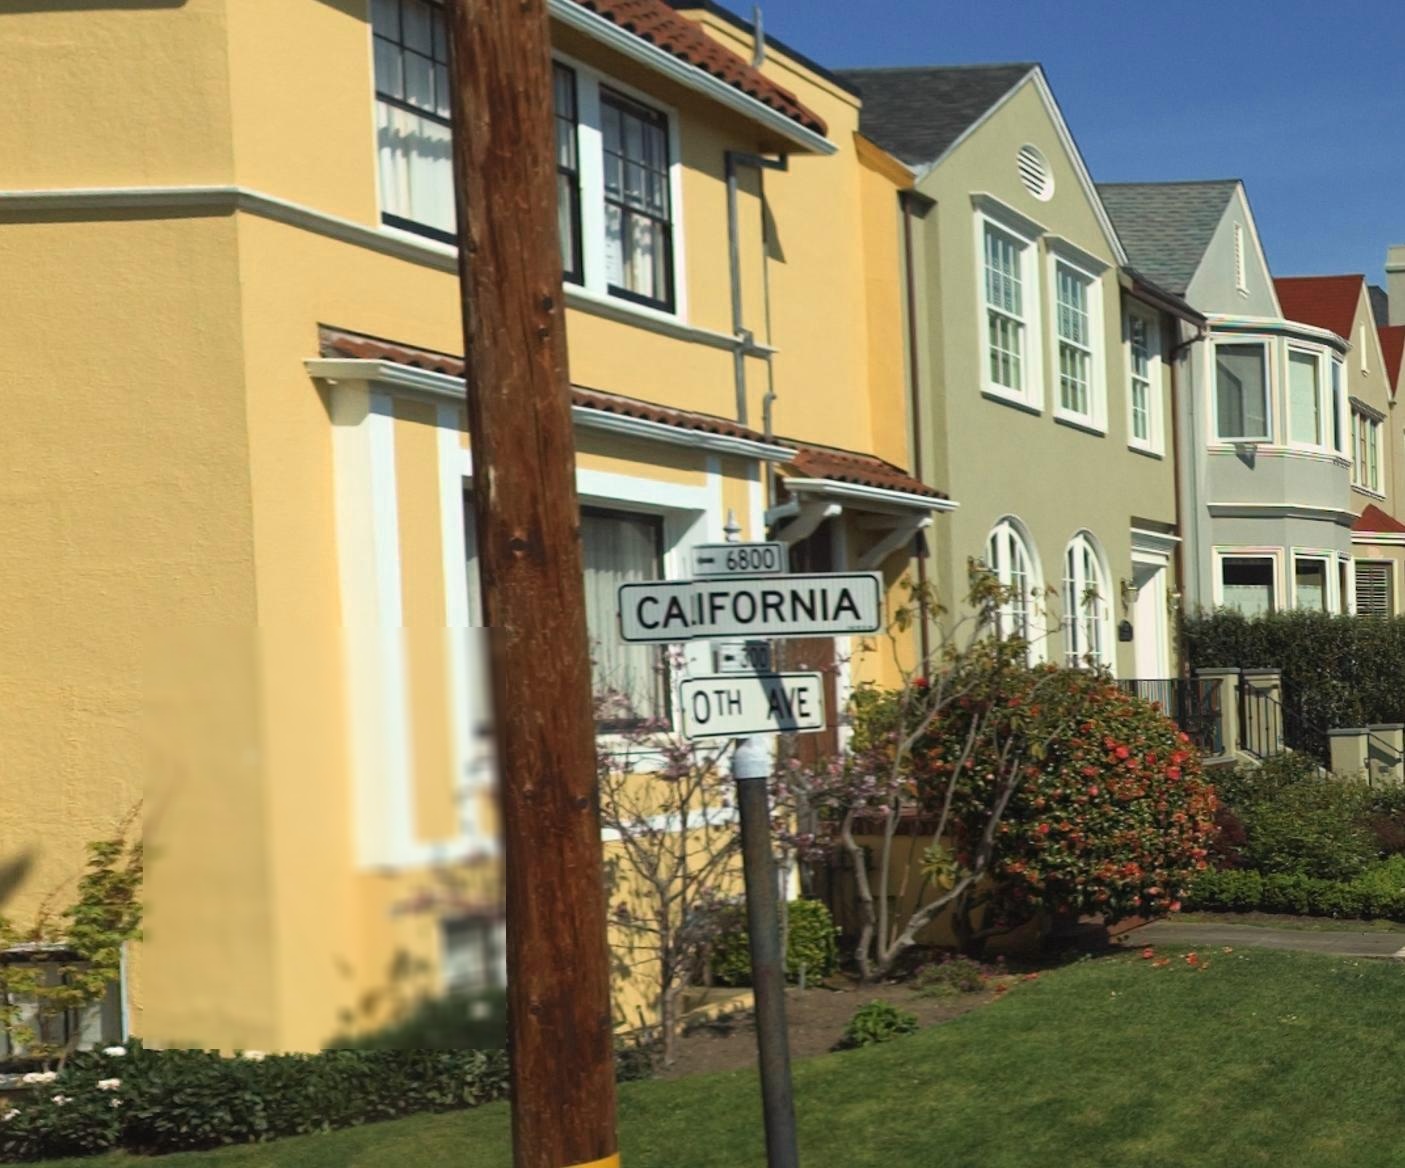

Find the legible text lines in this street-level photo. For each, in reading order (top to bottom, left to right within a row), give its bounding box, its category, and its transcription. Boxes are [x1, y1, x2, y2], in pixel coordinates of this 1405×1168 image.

[691, 545, 779, 571] StreetNumberRange: <-6800
[631, 581, 865, 631] StreetName: CALIFORNIA
[717, 646, 771, 673] StreetNumberRange: <-300
[683, 679, 821, 732] StreetName: *0TH AVE